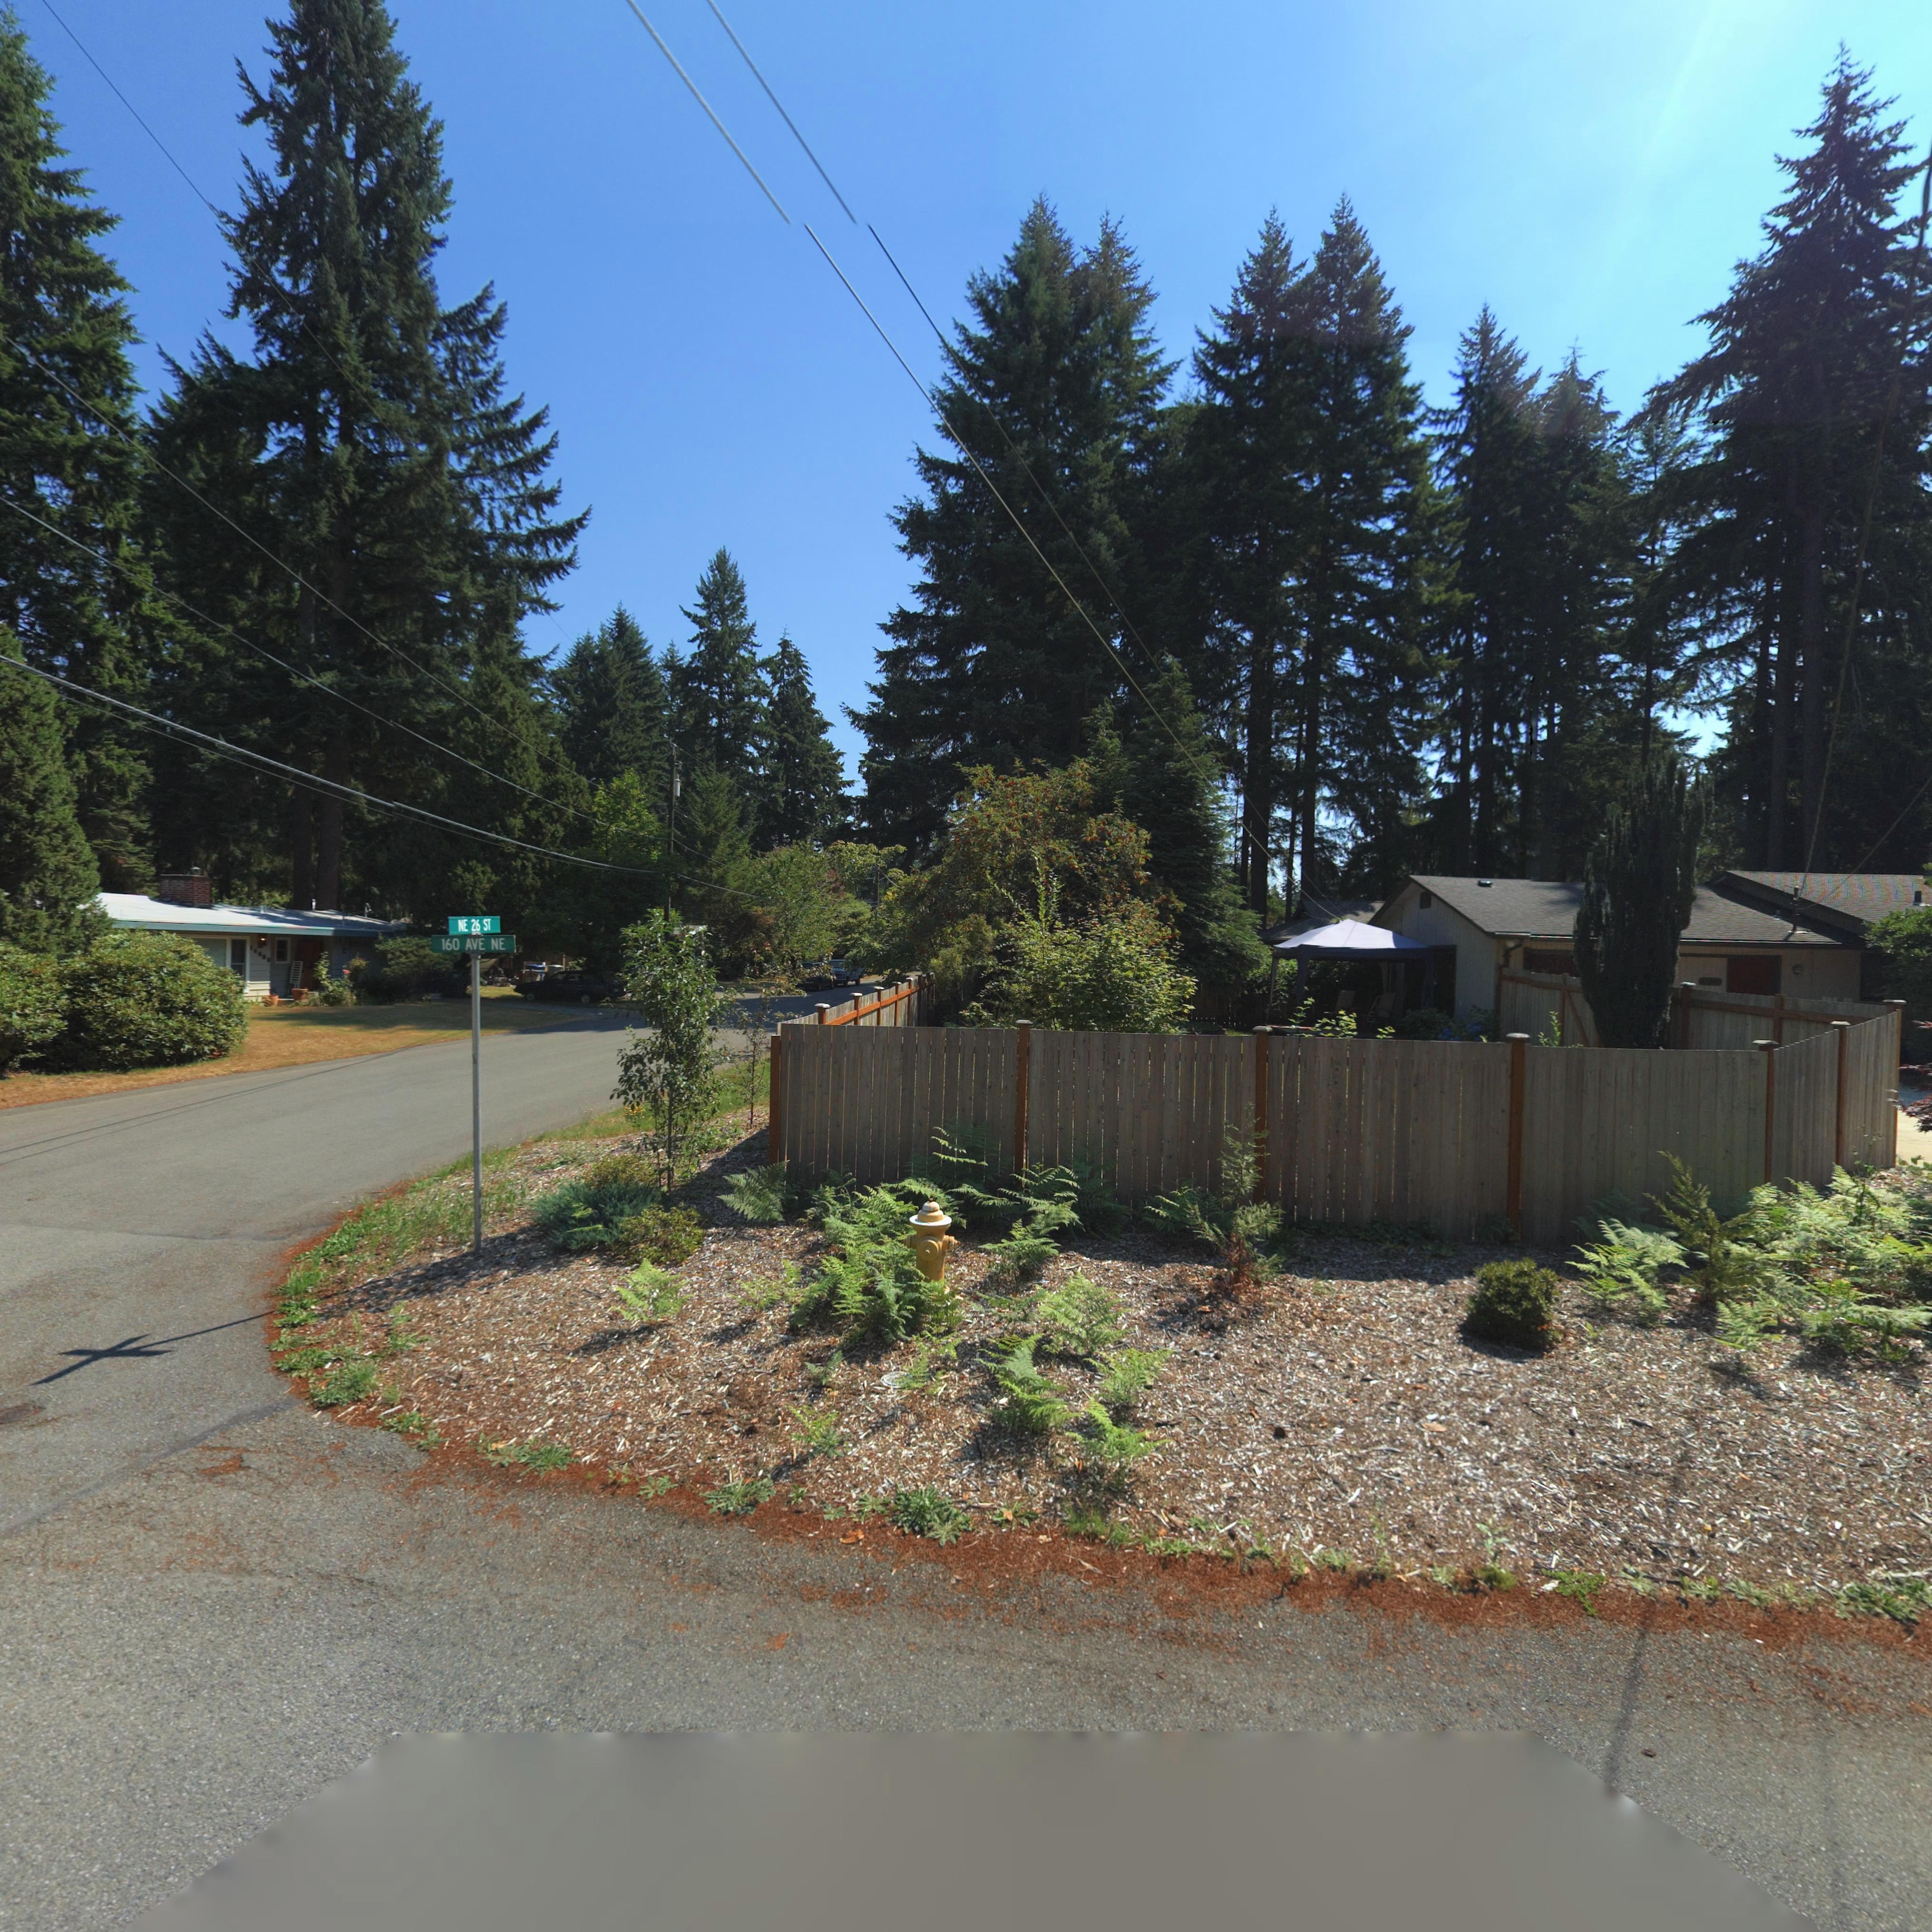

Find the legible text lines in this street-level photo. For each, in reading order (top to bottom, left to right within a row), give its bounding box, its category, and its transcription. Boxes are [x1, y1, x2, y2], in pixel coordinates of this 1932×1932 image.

[457, 918, 492, 933] StreetName: NE 26 ST
[440, 937, 507, 951] StreetName: 160 AVE NE